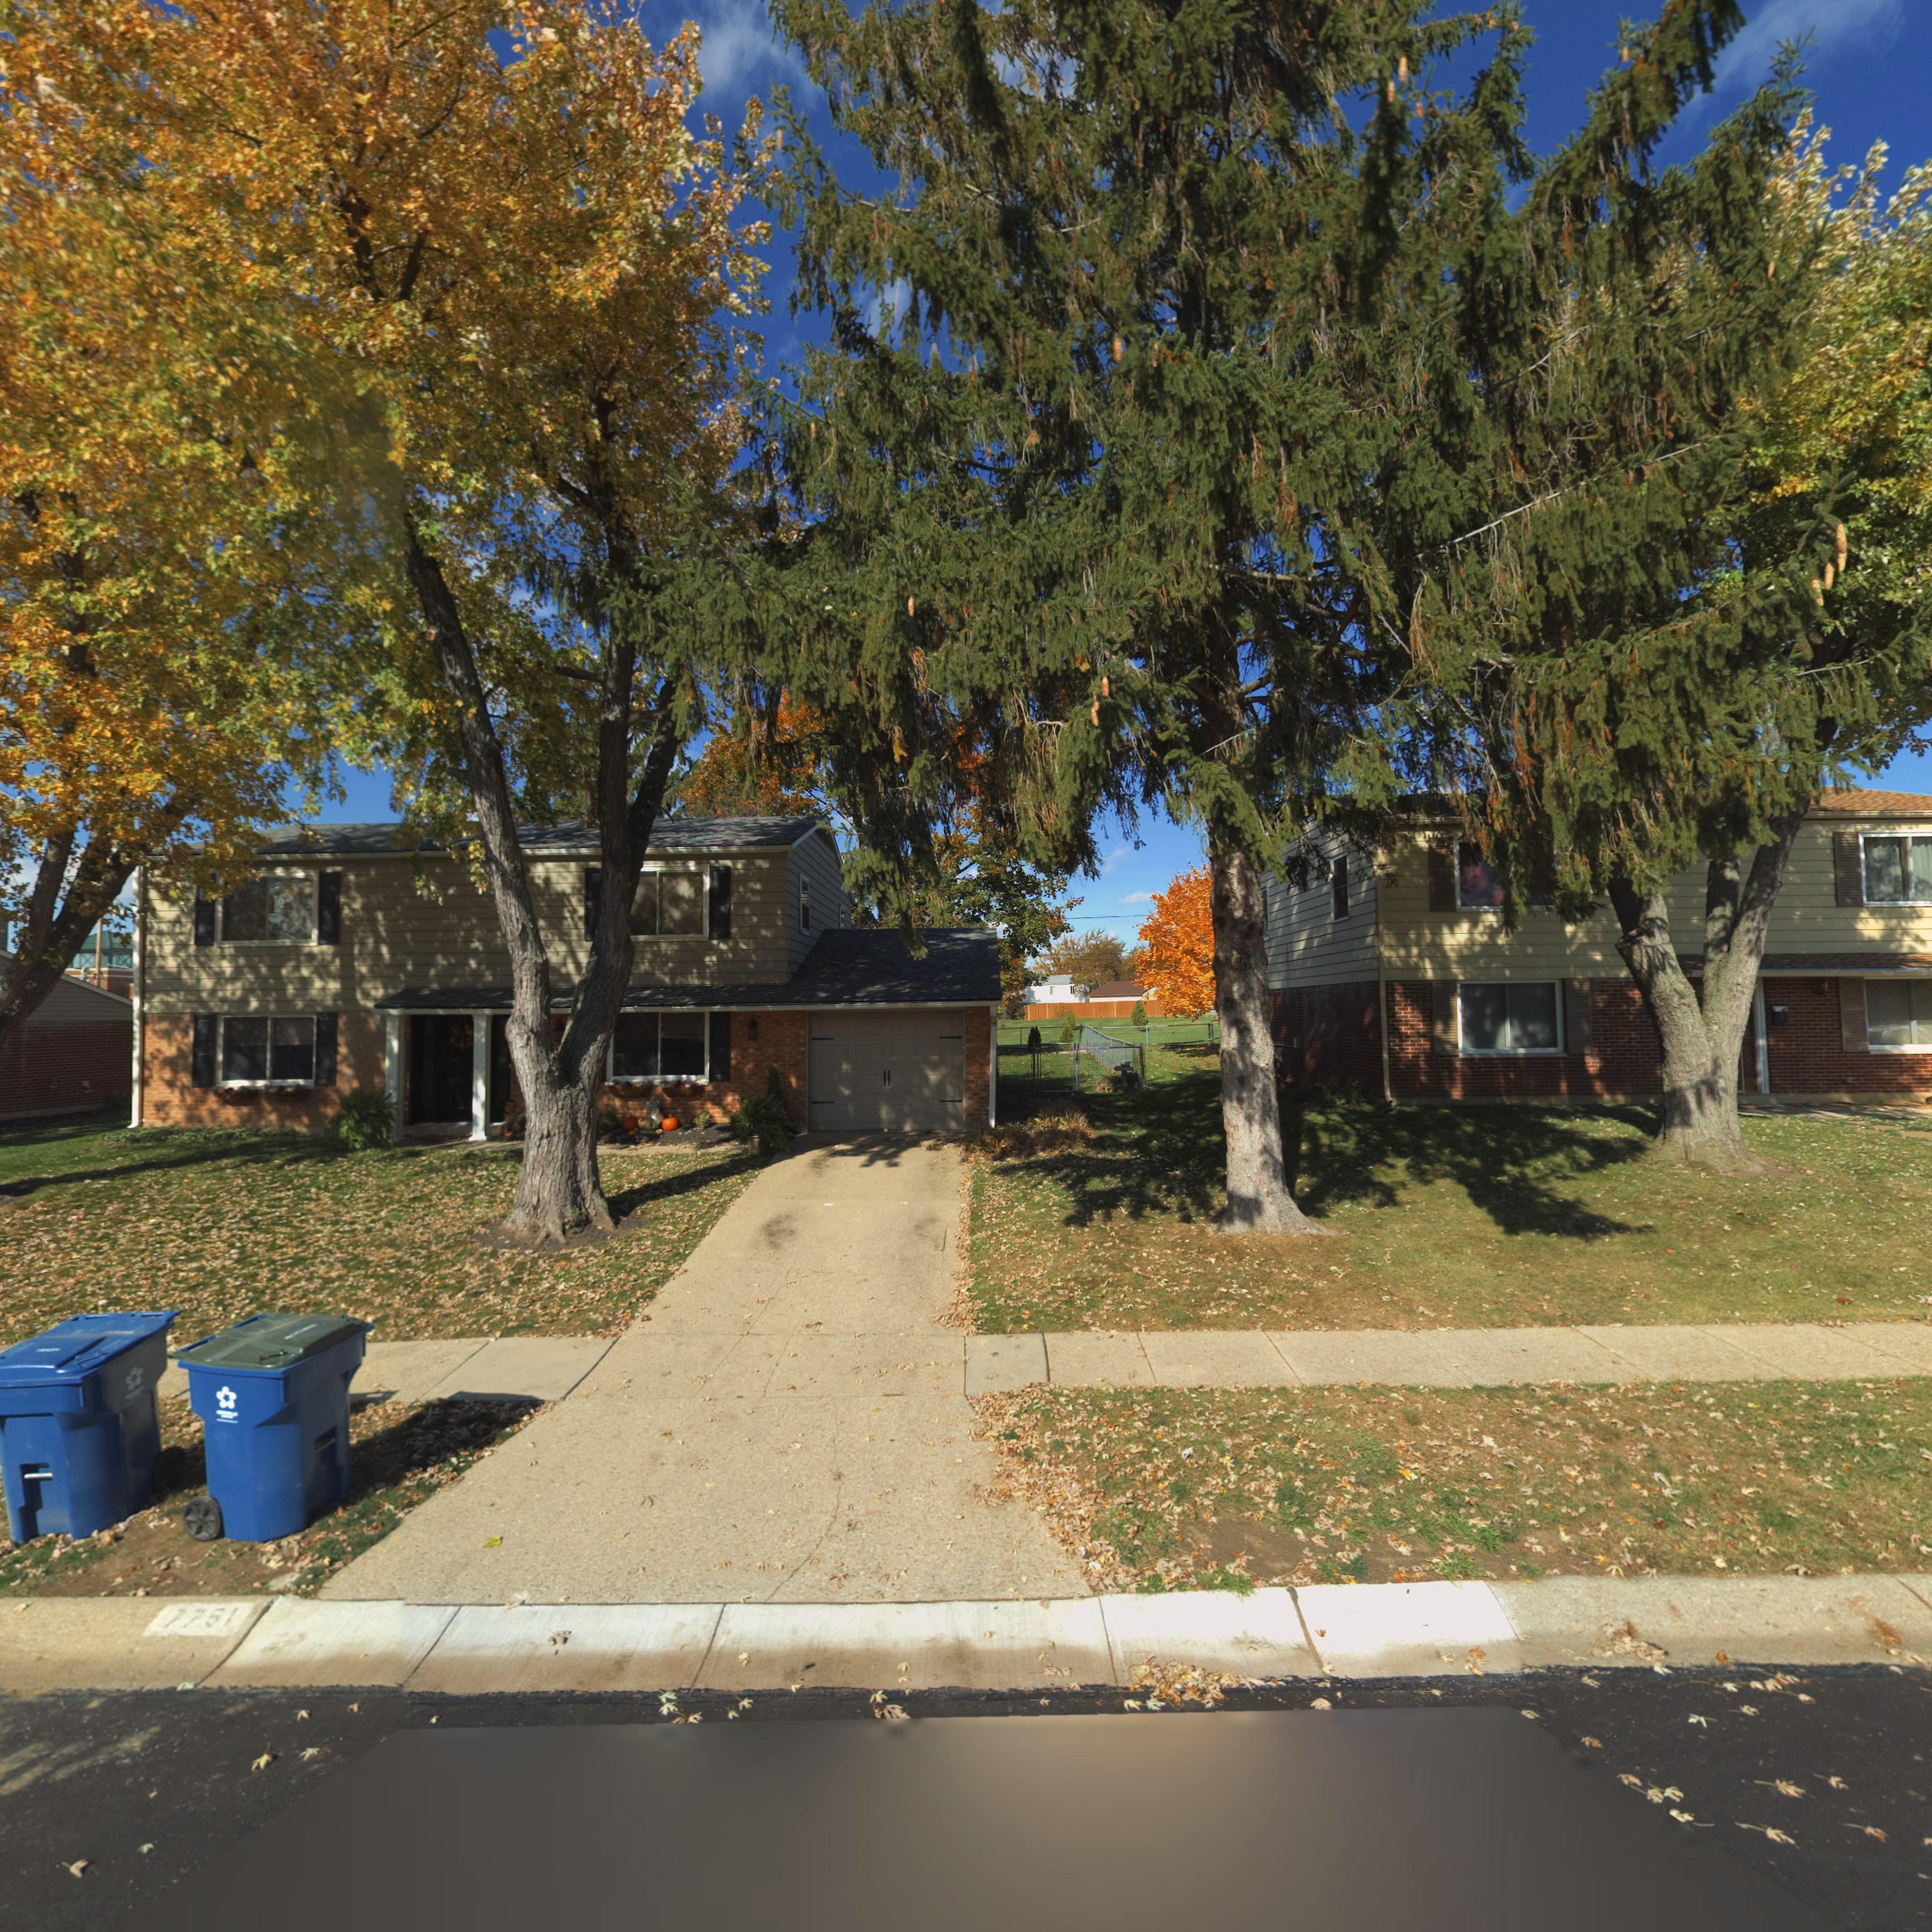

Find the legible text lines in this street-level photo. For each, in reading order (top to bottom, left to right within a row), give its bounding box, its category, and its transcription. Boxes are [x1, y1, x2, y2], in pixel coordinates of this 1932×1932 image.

[160, 1606, 242, 1631] StreetNumber: 7751